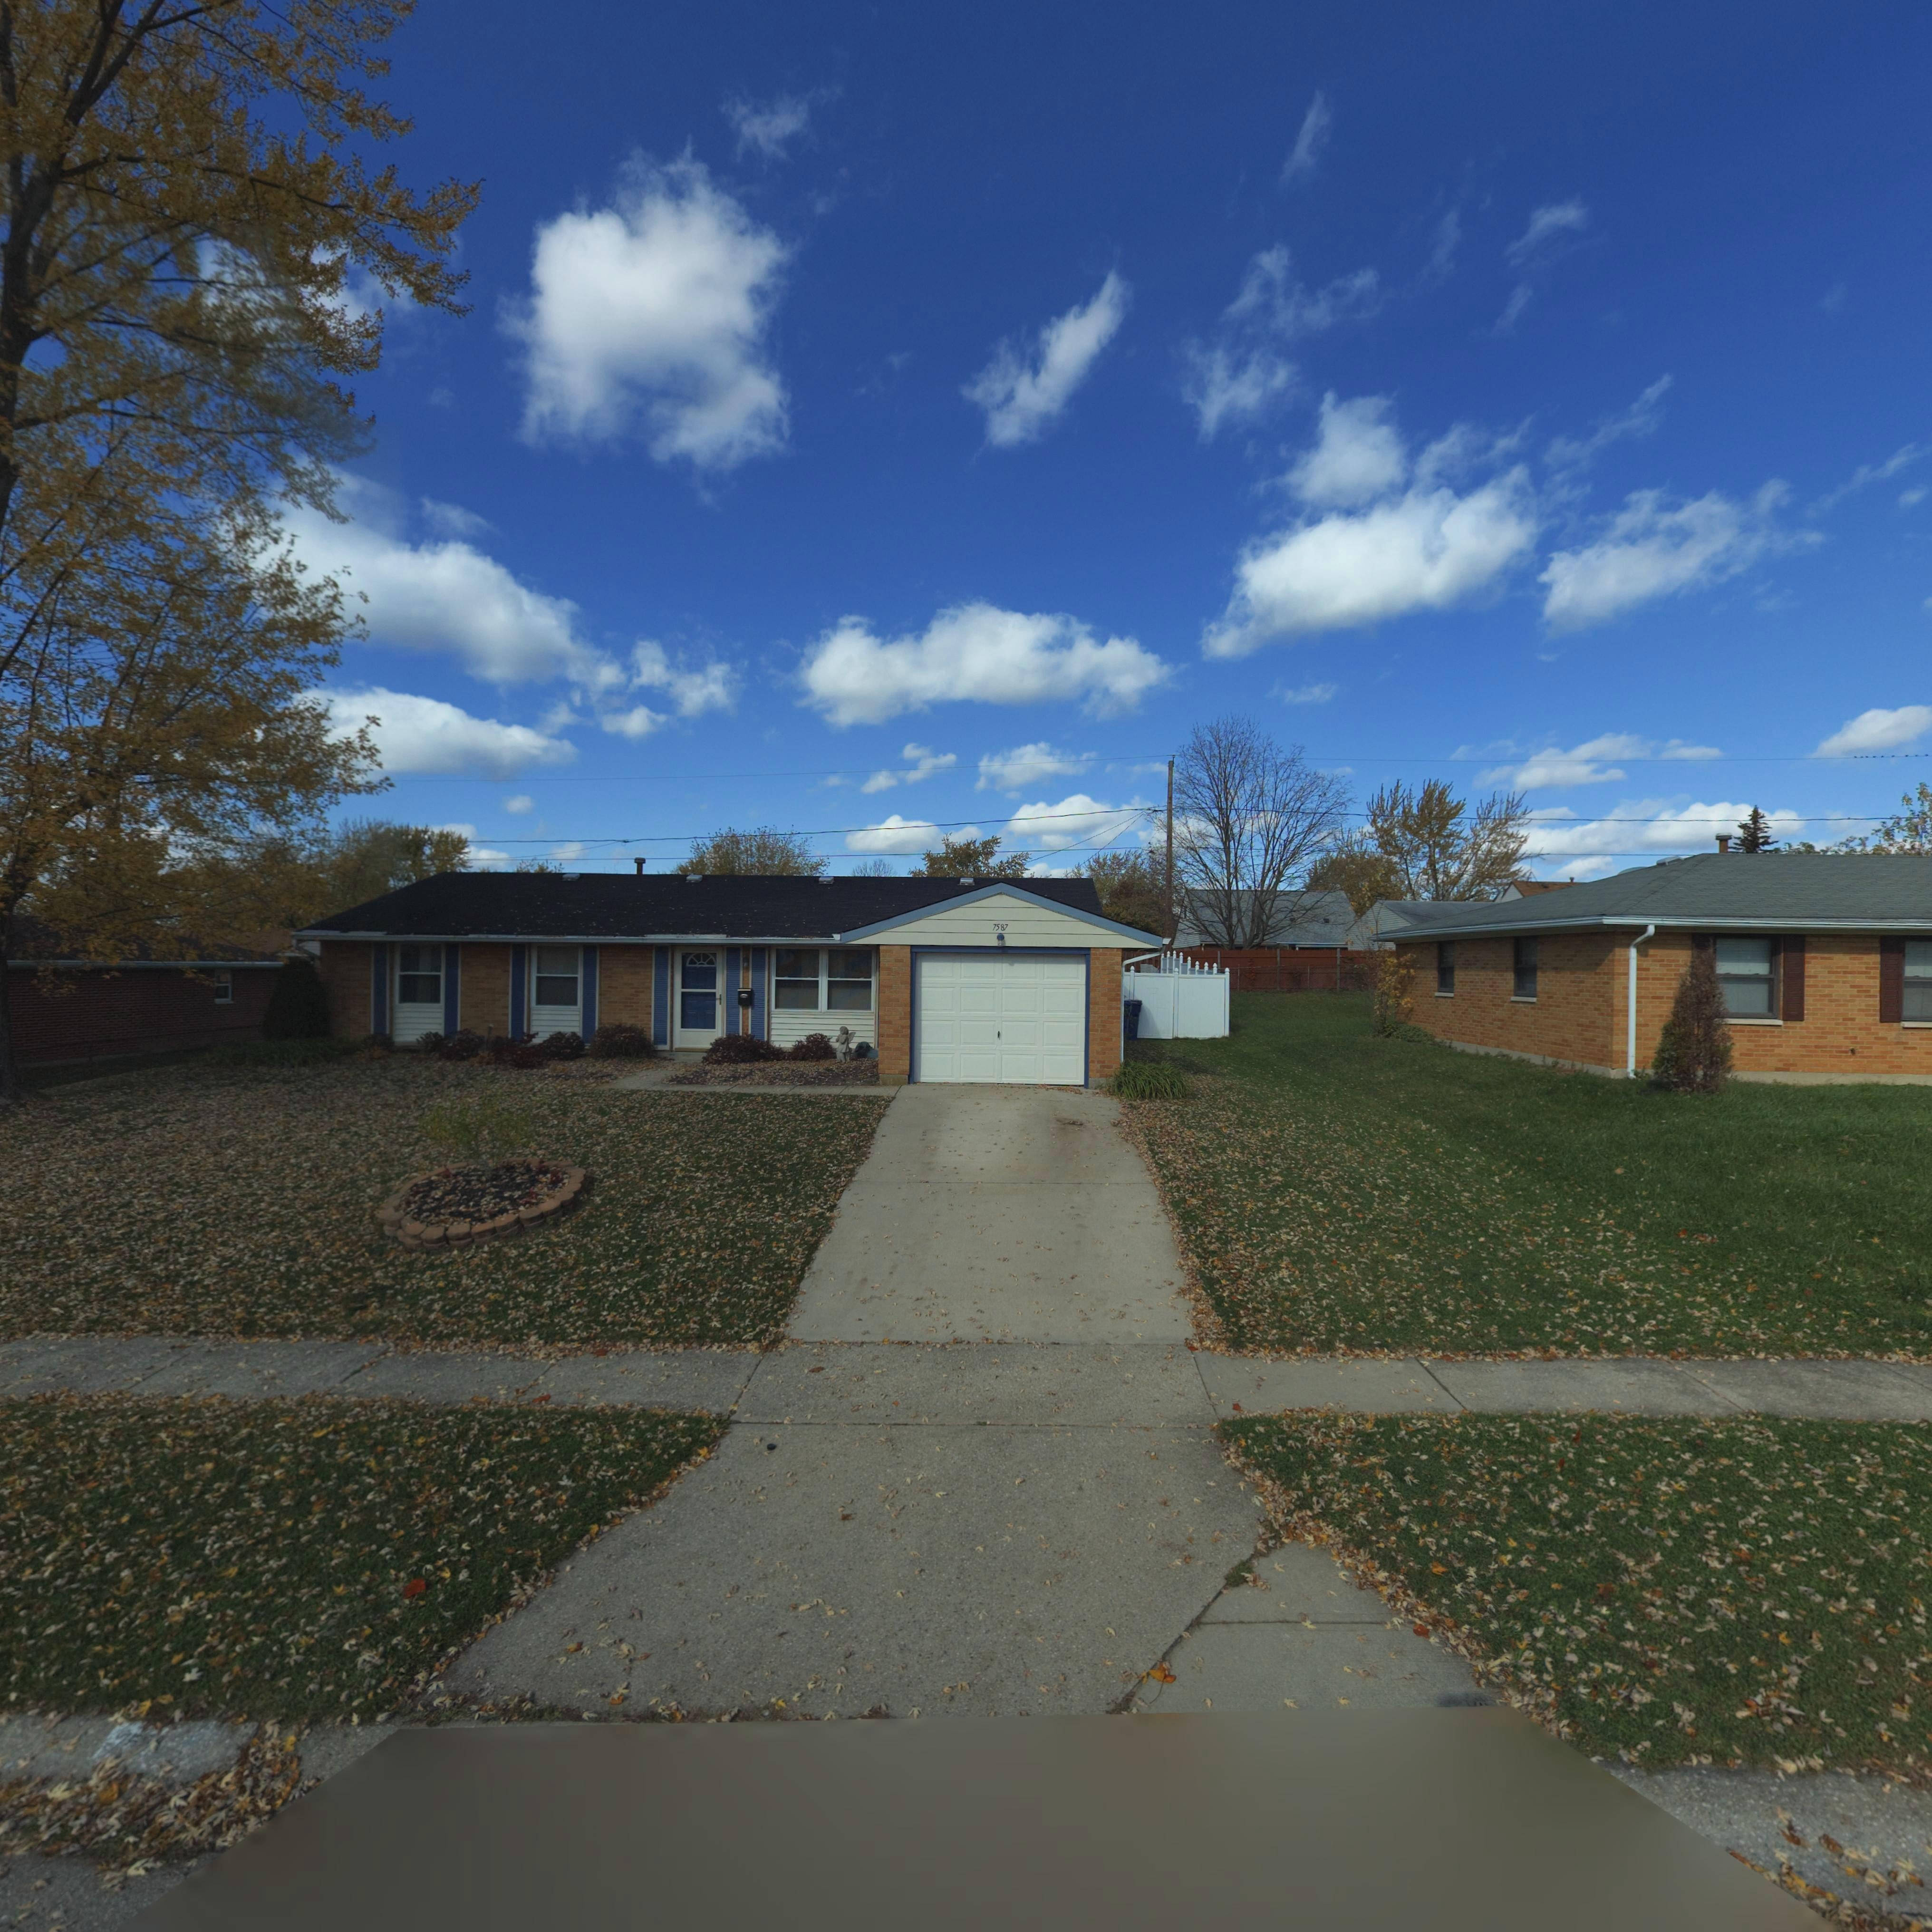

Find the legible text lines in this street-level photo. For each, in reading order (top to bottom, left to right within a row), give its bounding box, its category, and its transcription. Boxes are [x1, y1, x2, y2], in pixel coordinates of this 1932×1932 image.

[992, 924, 1008, 931] StreetNumber: 7587